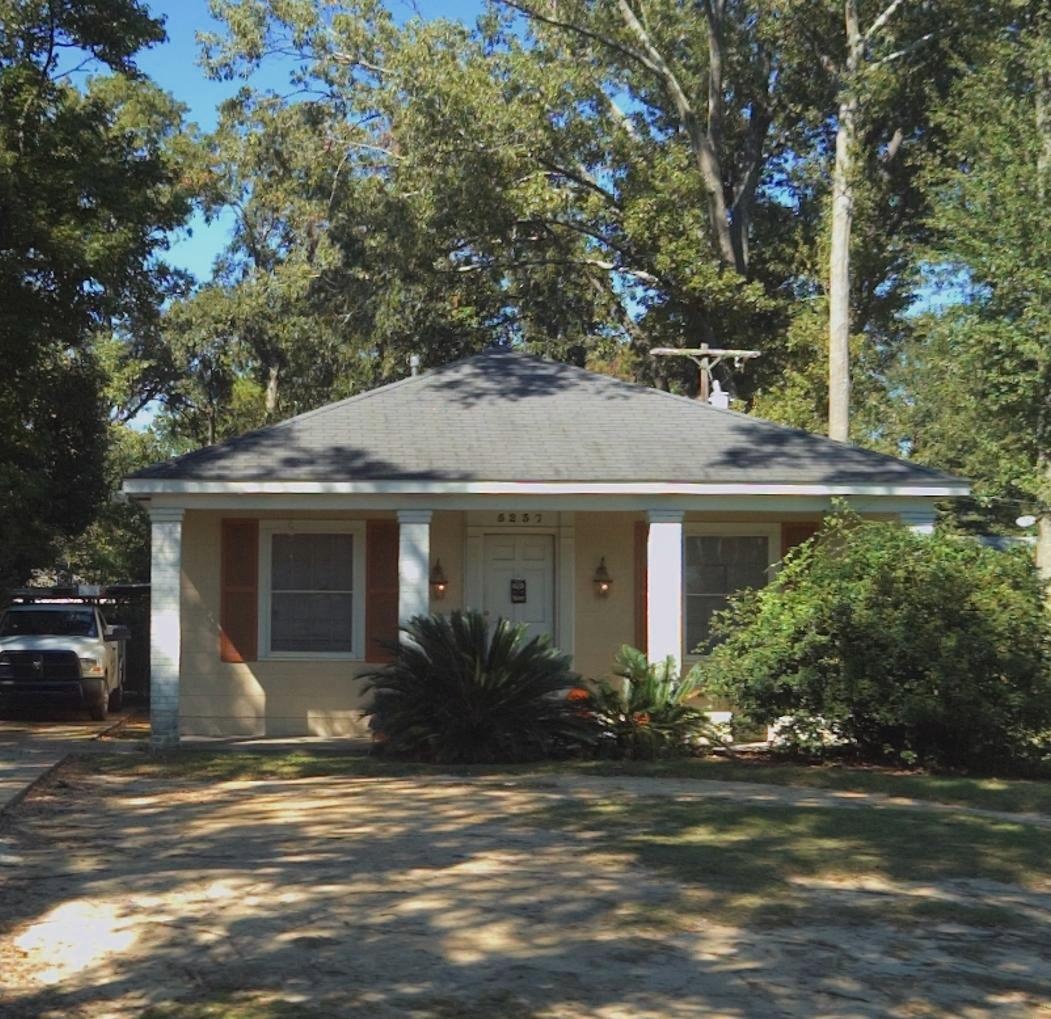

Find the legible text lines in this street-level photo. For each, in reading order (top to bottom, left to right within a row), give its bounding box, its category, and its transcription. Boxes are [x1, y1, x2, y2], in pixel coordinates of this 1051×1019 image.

[496, 512, 543, 524] StreetNumber: 5237